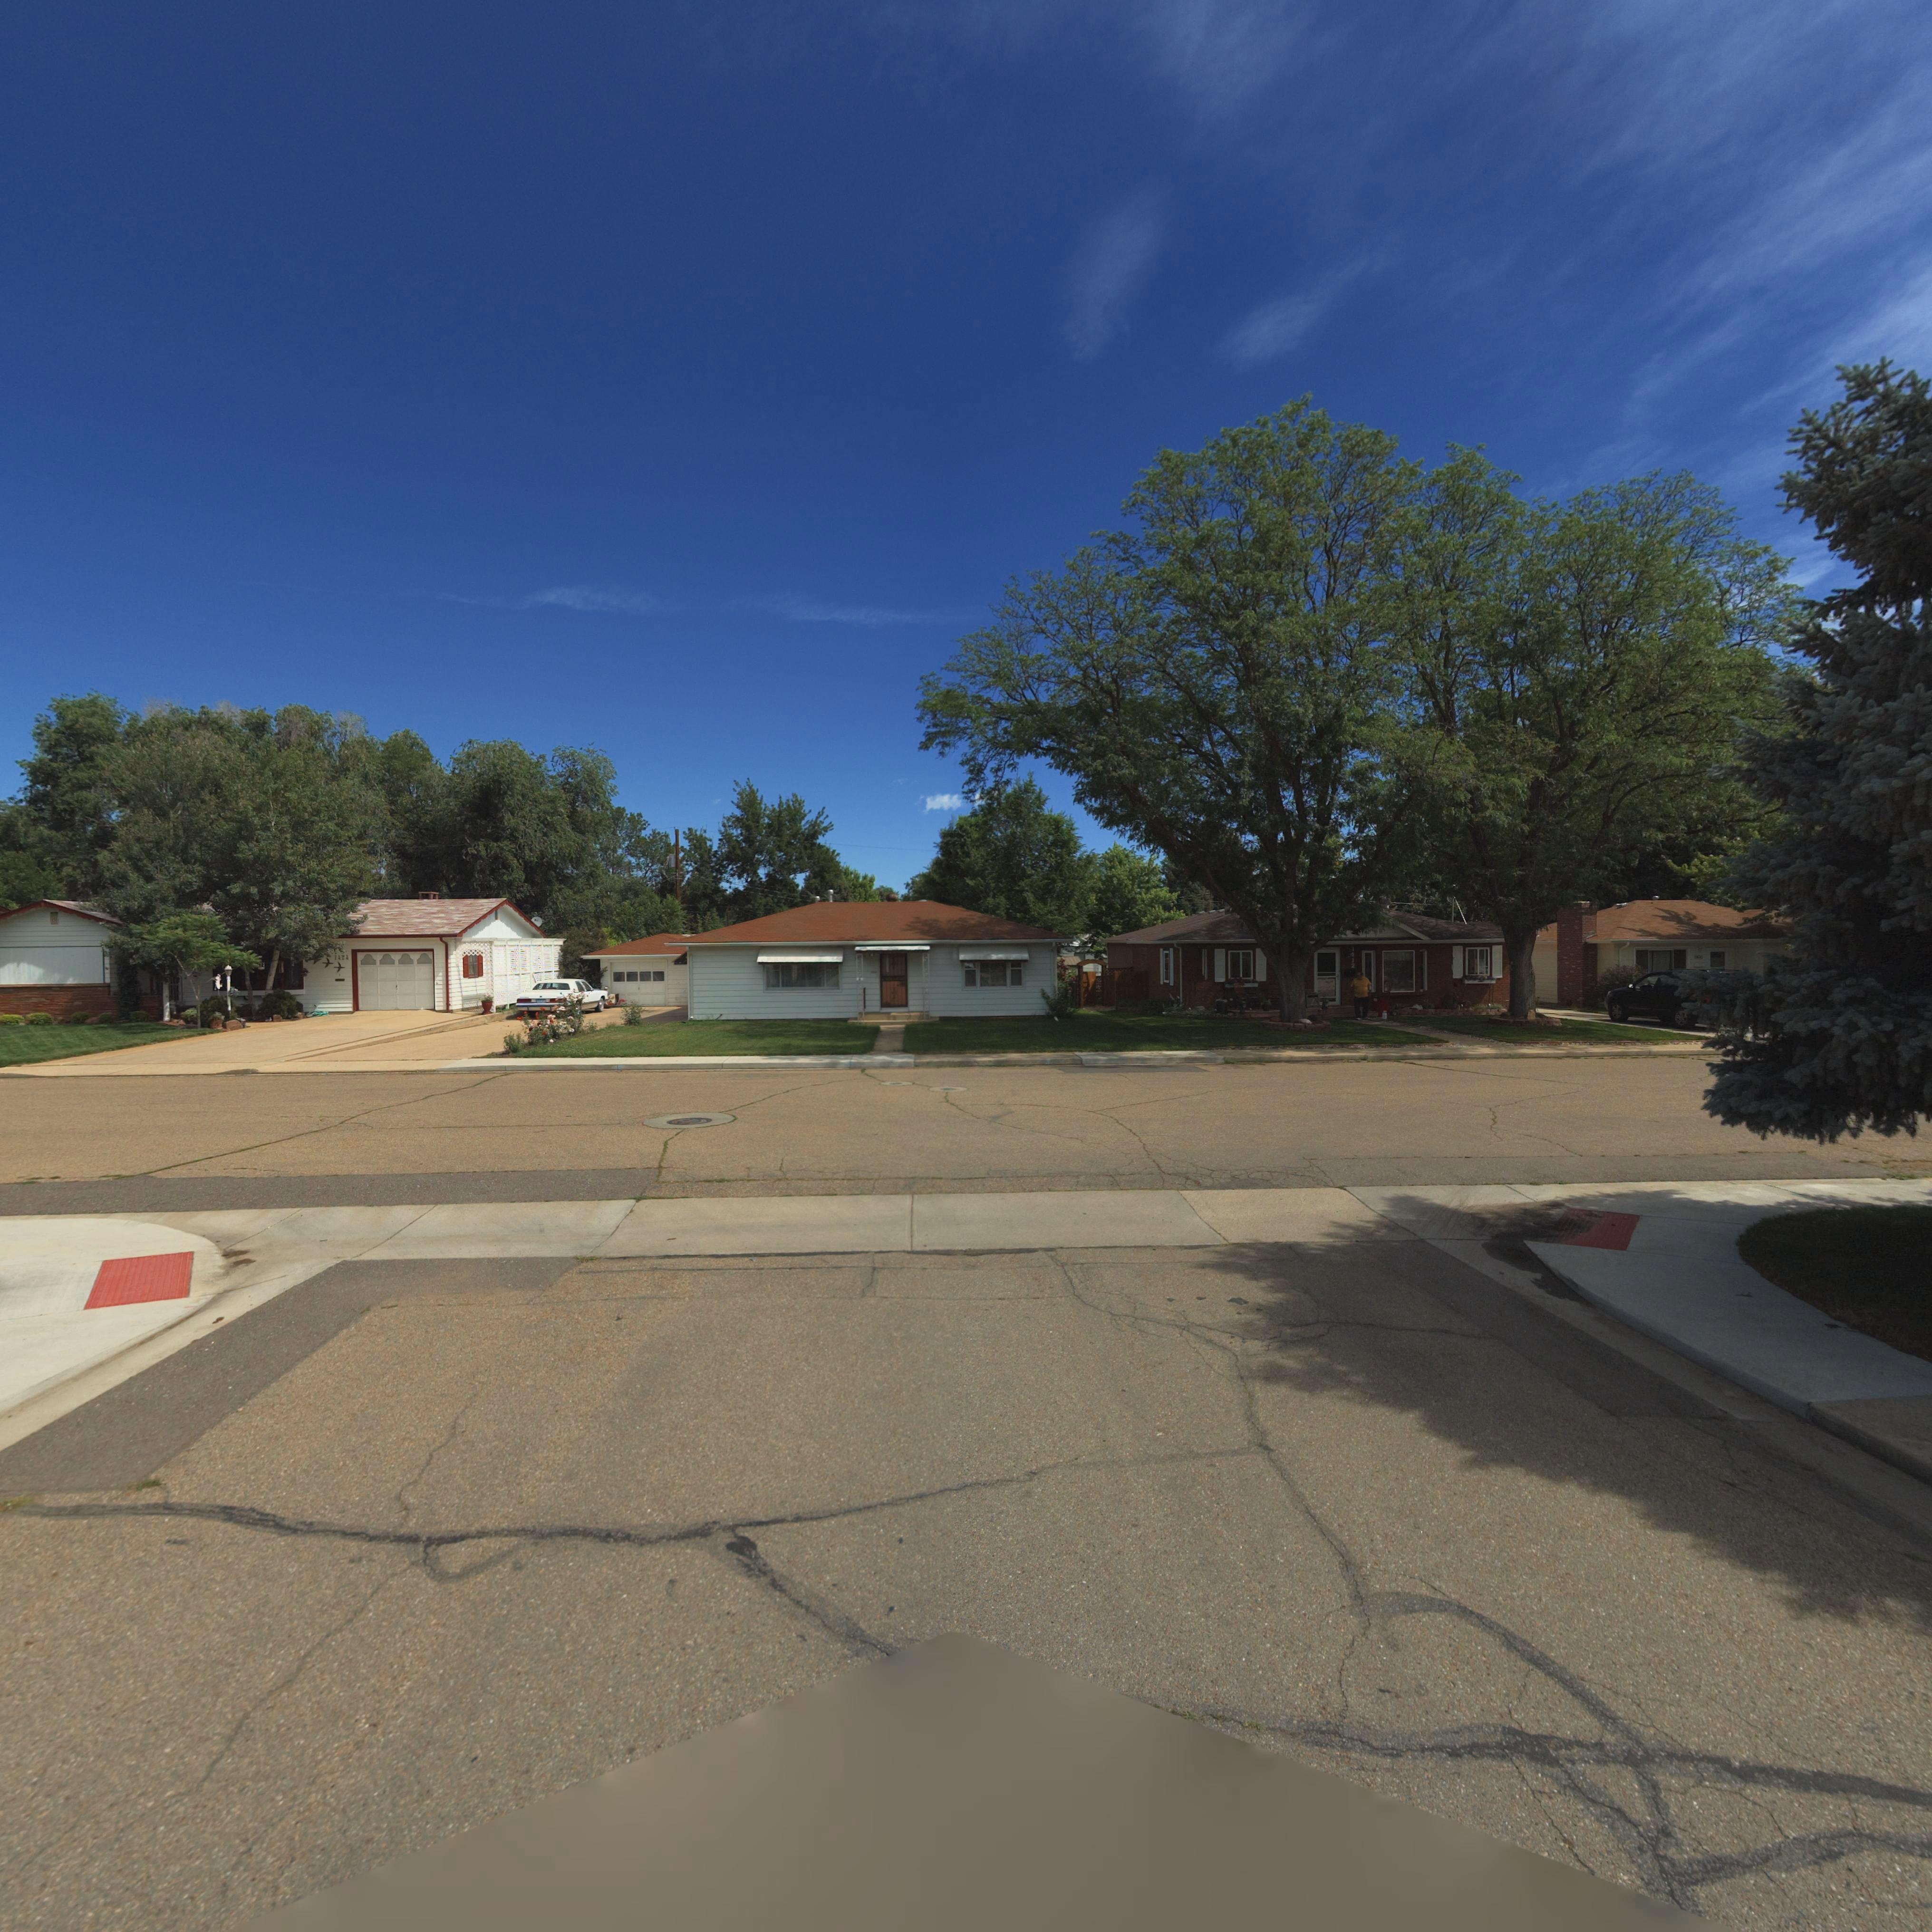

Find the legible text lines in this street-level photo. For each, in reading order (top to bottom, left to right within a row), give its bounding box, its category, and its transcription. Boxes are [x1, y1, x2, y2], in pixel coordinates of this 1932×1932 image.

[334, 954, 348, 960] StreetNumber: 1*2*
[1350, 947, 1355, 968] StreetNumber: 1412